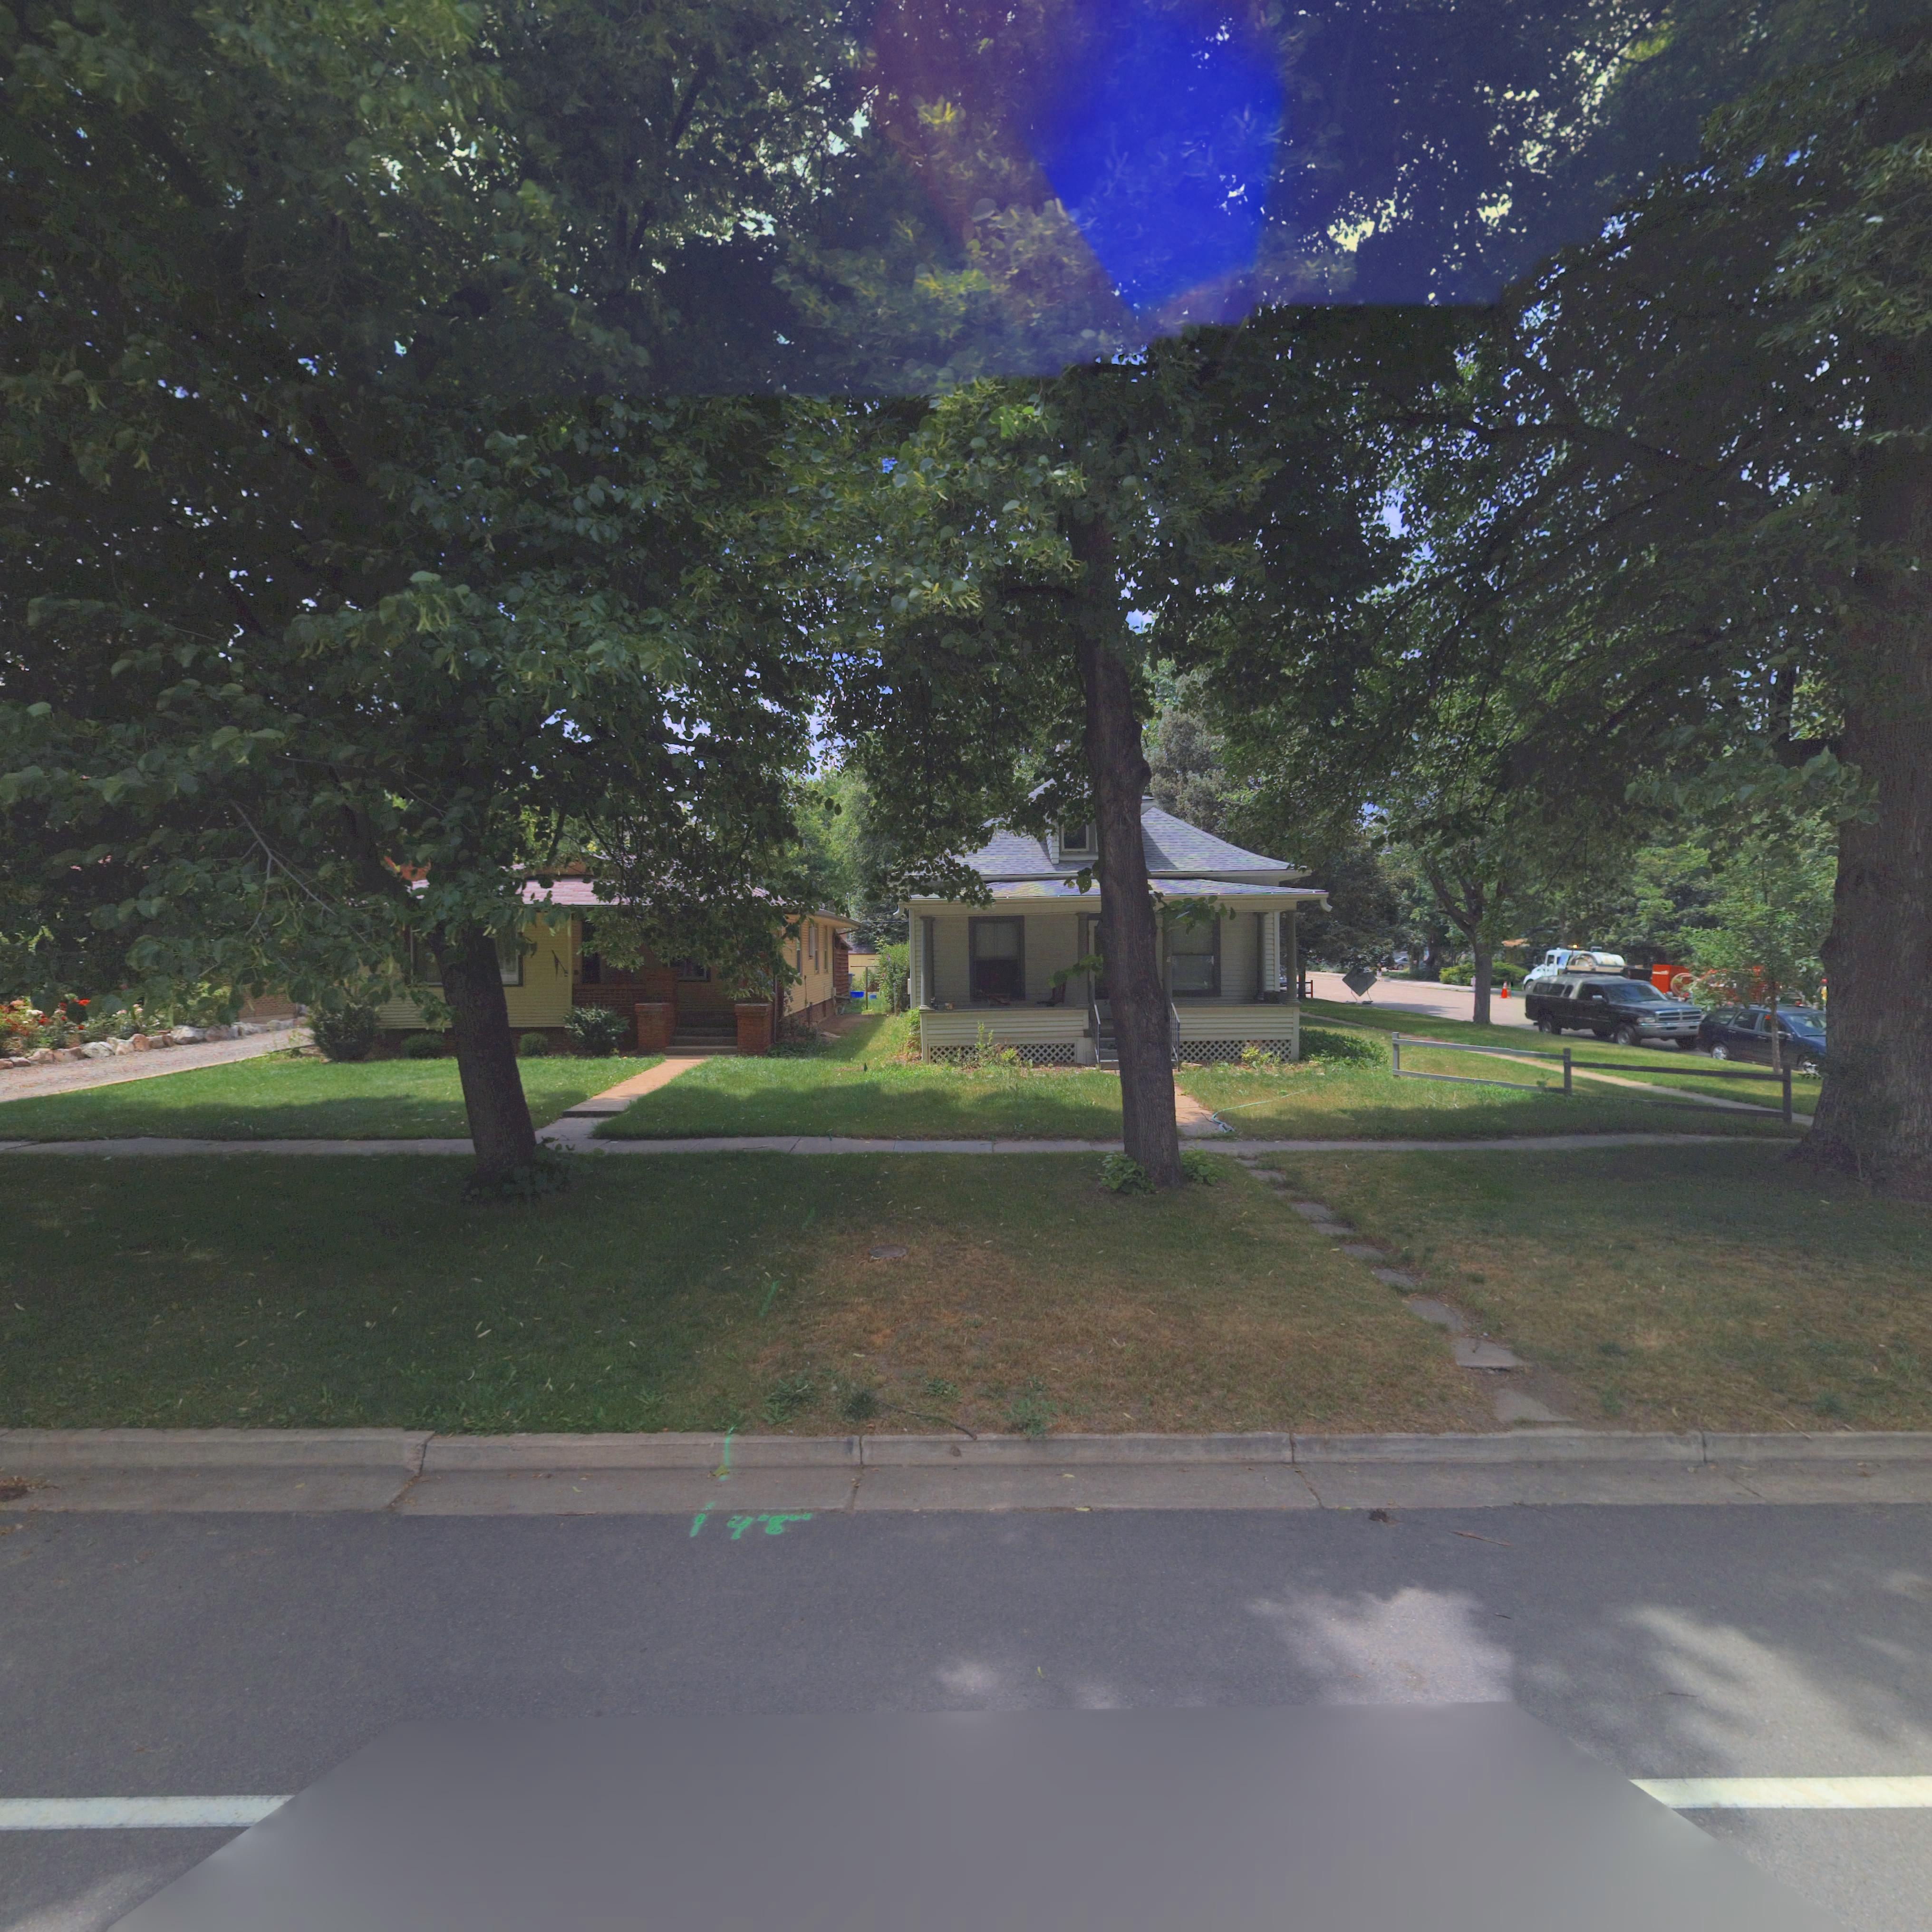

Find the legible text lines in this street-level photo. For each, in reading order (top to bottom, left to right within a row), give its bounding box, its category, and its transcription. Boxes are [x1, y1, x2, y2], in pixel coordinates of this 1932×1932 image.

[1102, 999, 1108, 1006] StreetNumber: 5